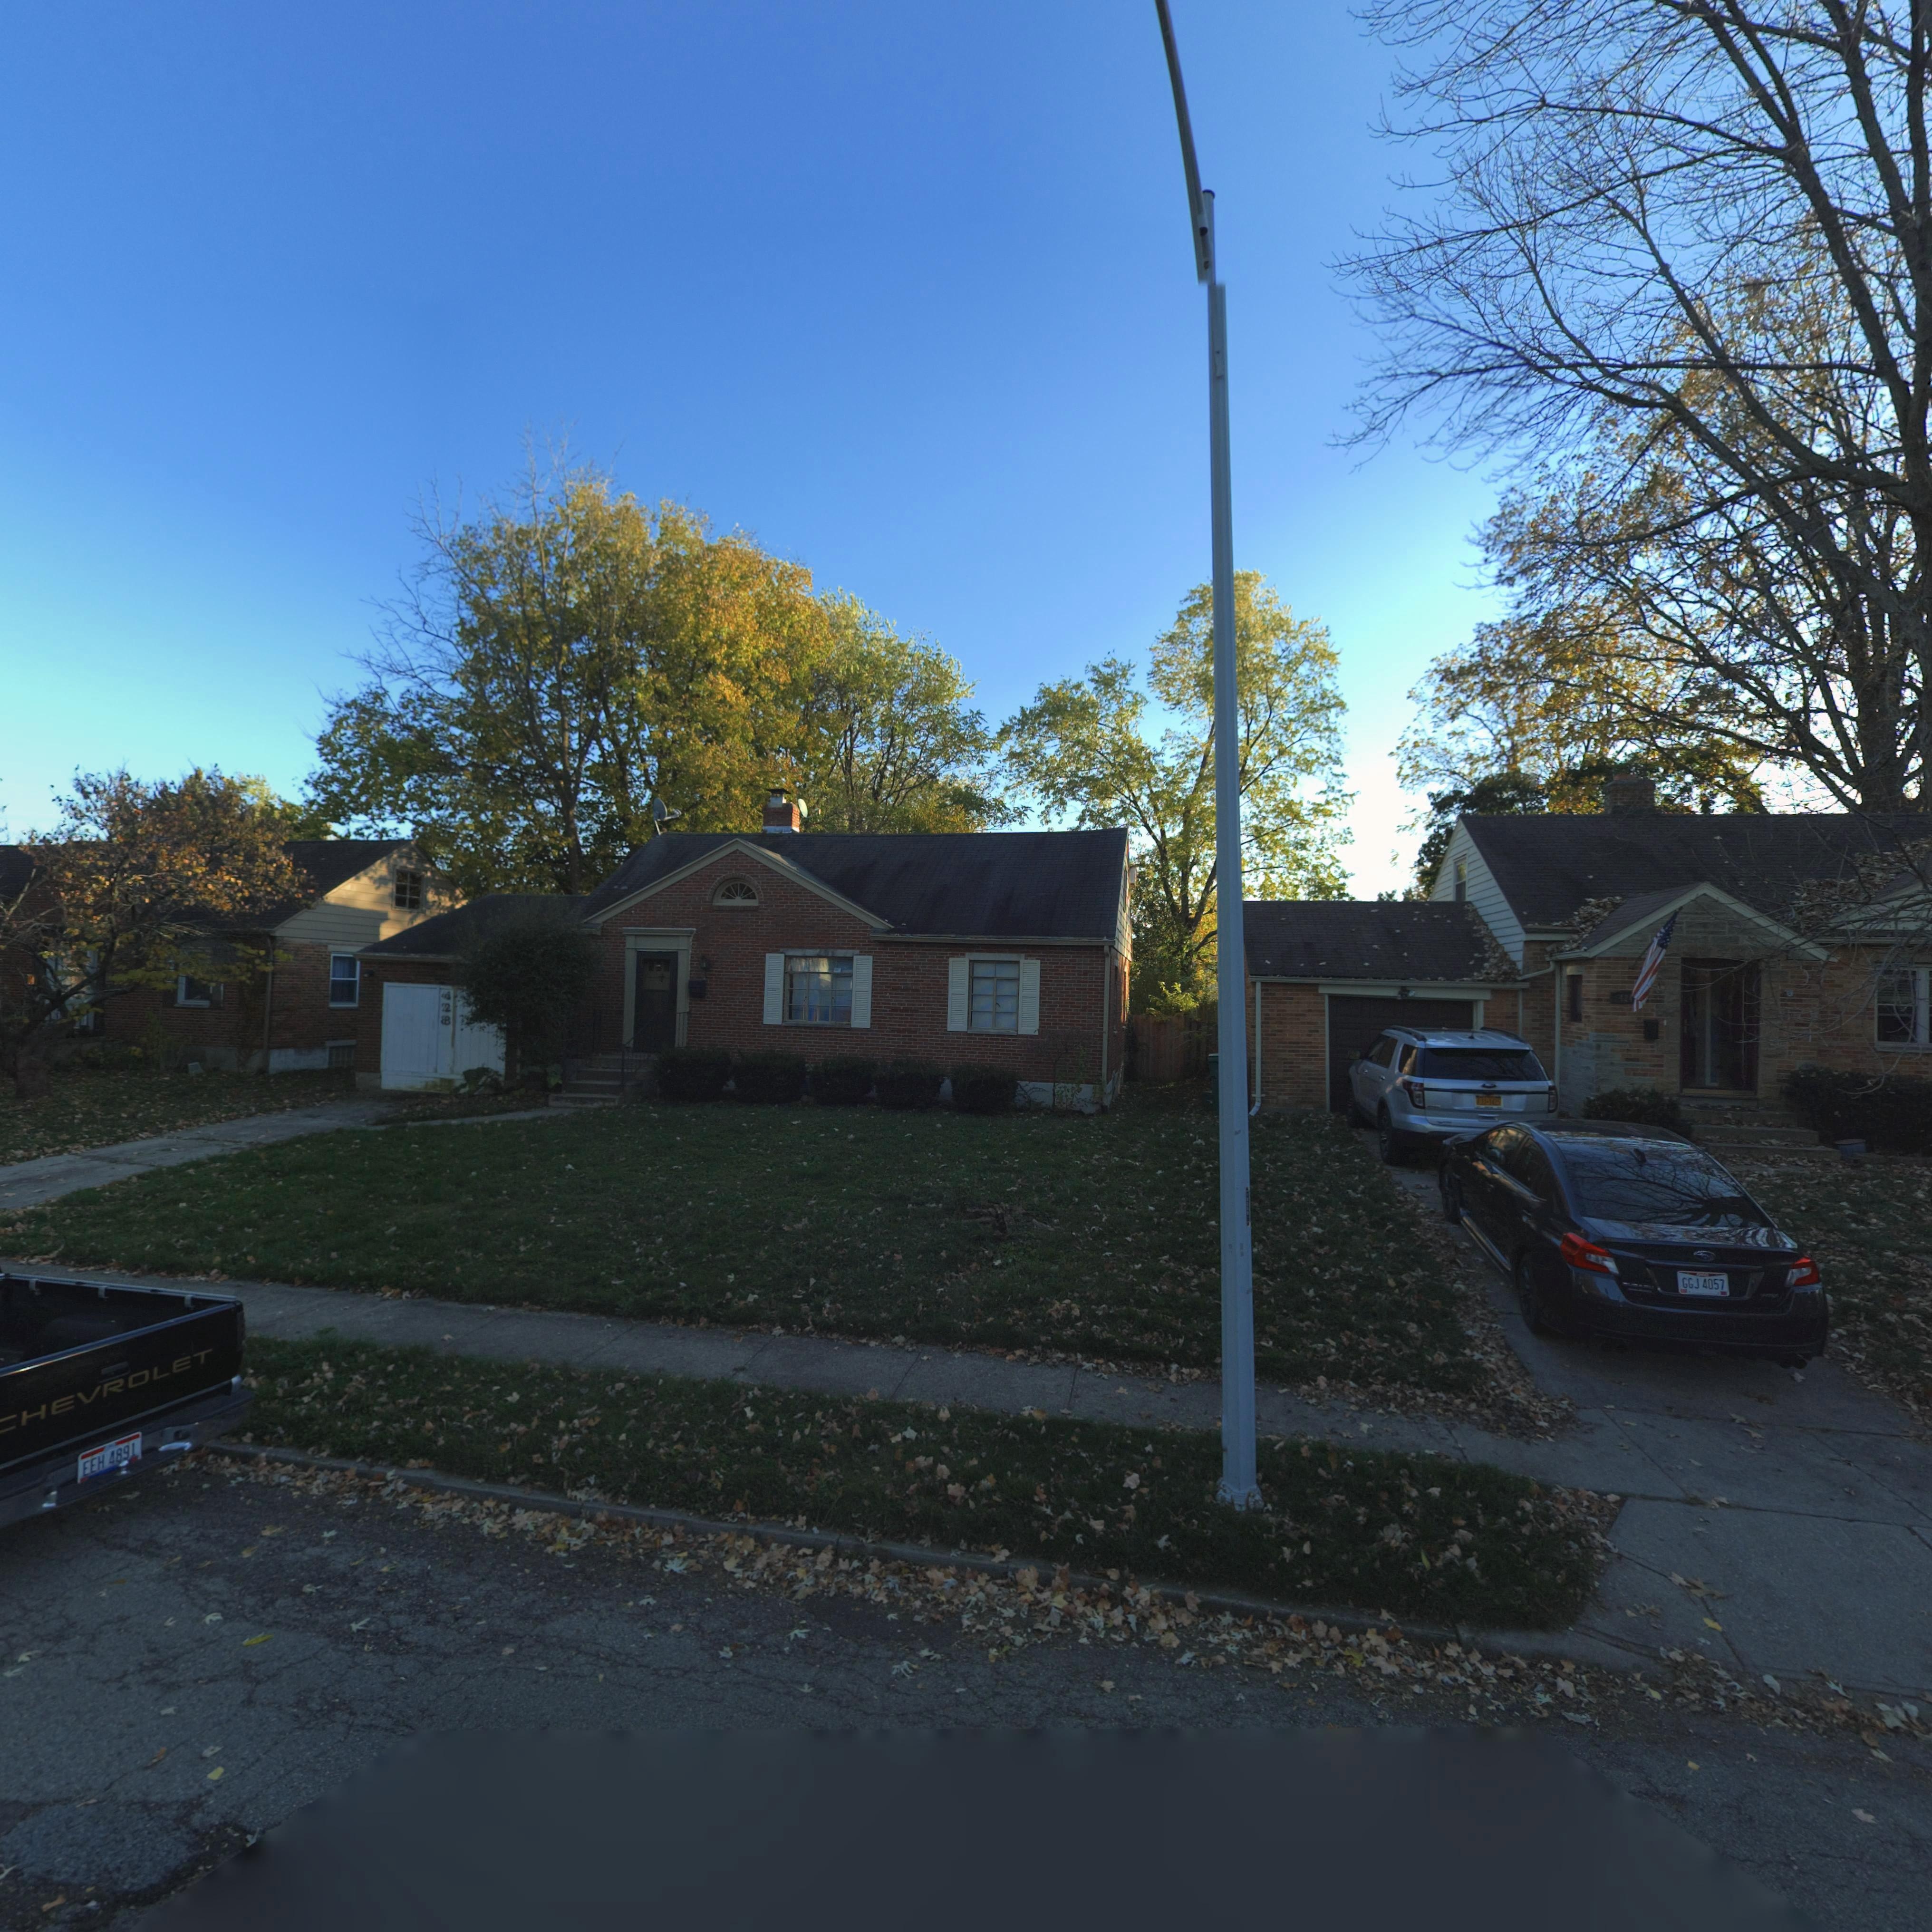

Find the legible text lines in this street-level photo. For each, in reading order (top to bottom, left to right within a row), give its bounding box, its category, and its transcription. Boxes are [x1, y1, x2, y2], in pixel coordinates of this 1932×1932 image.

[1617, 993, 1629, 1003] StreetNumber: 42